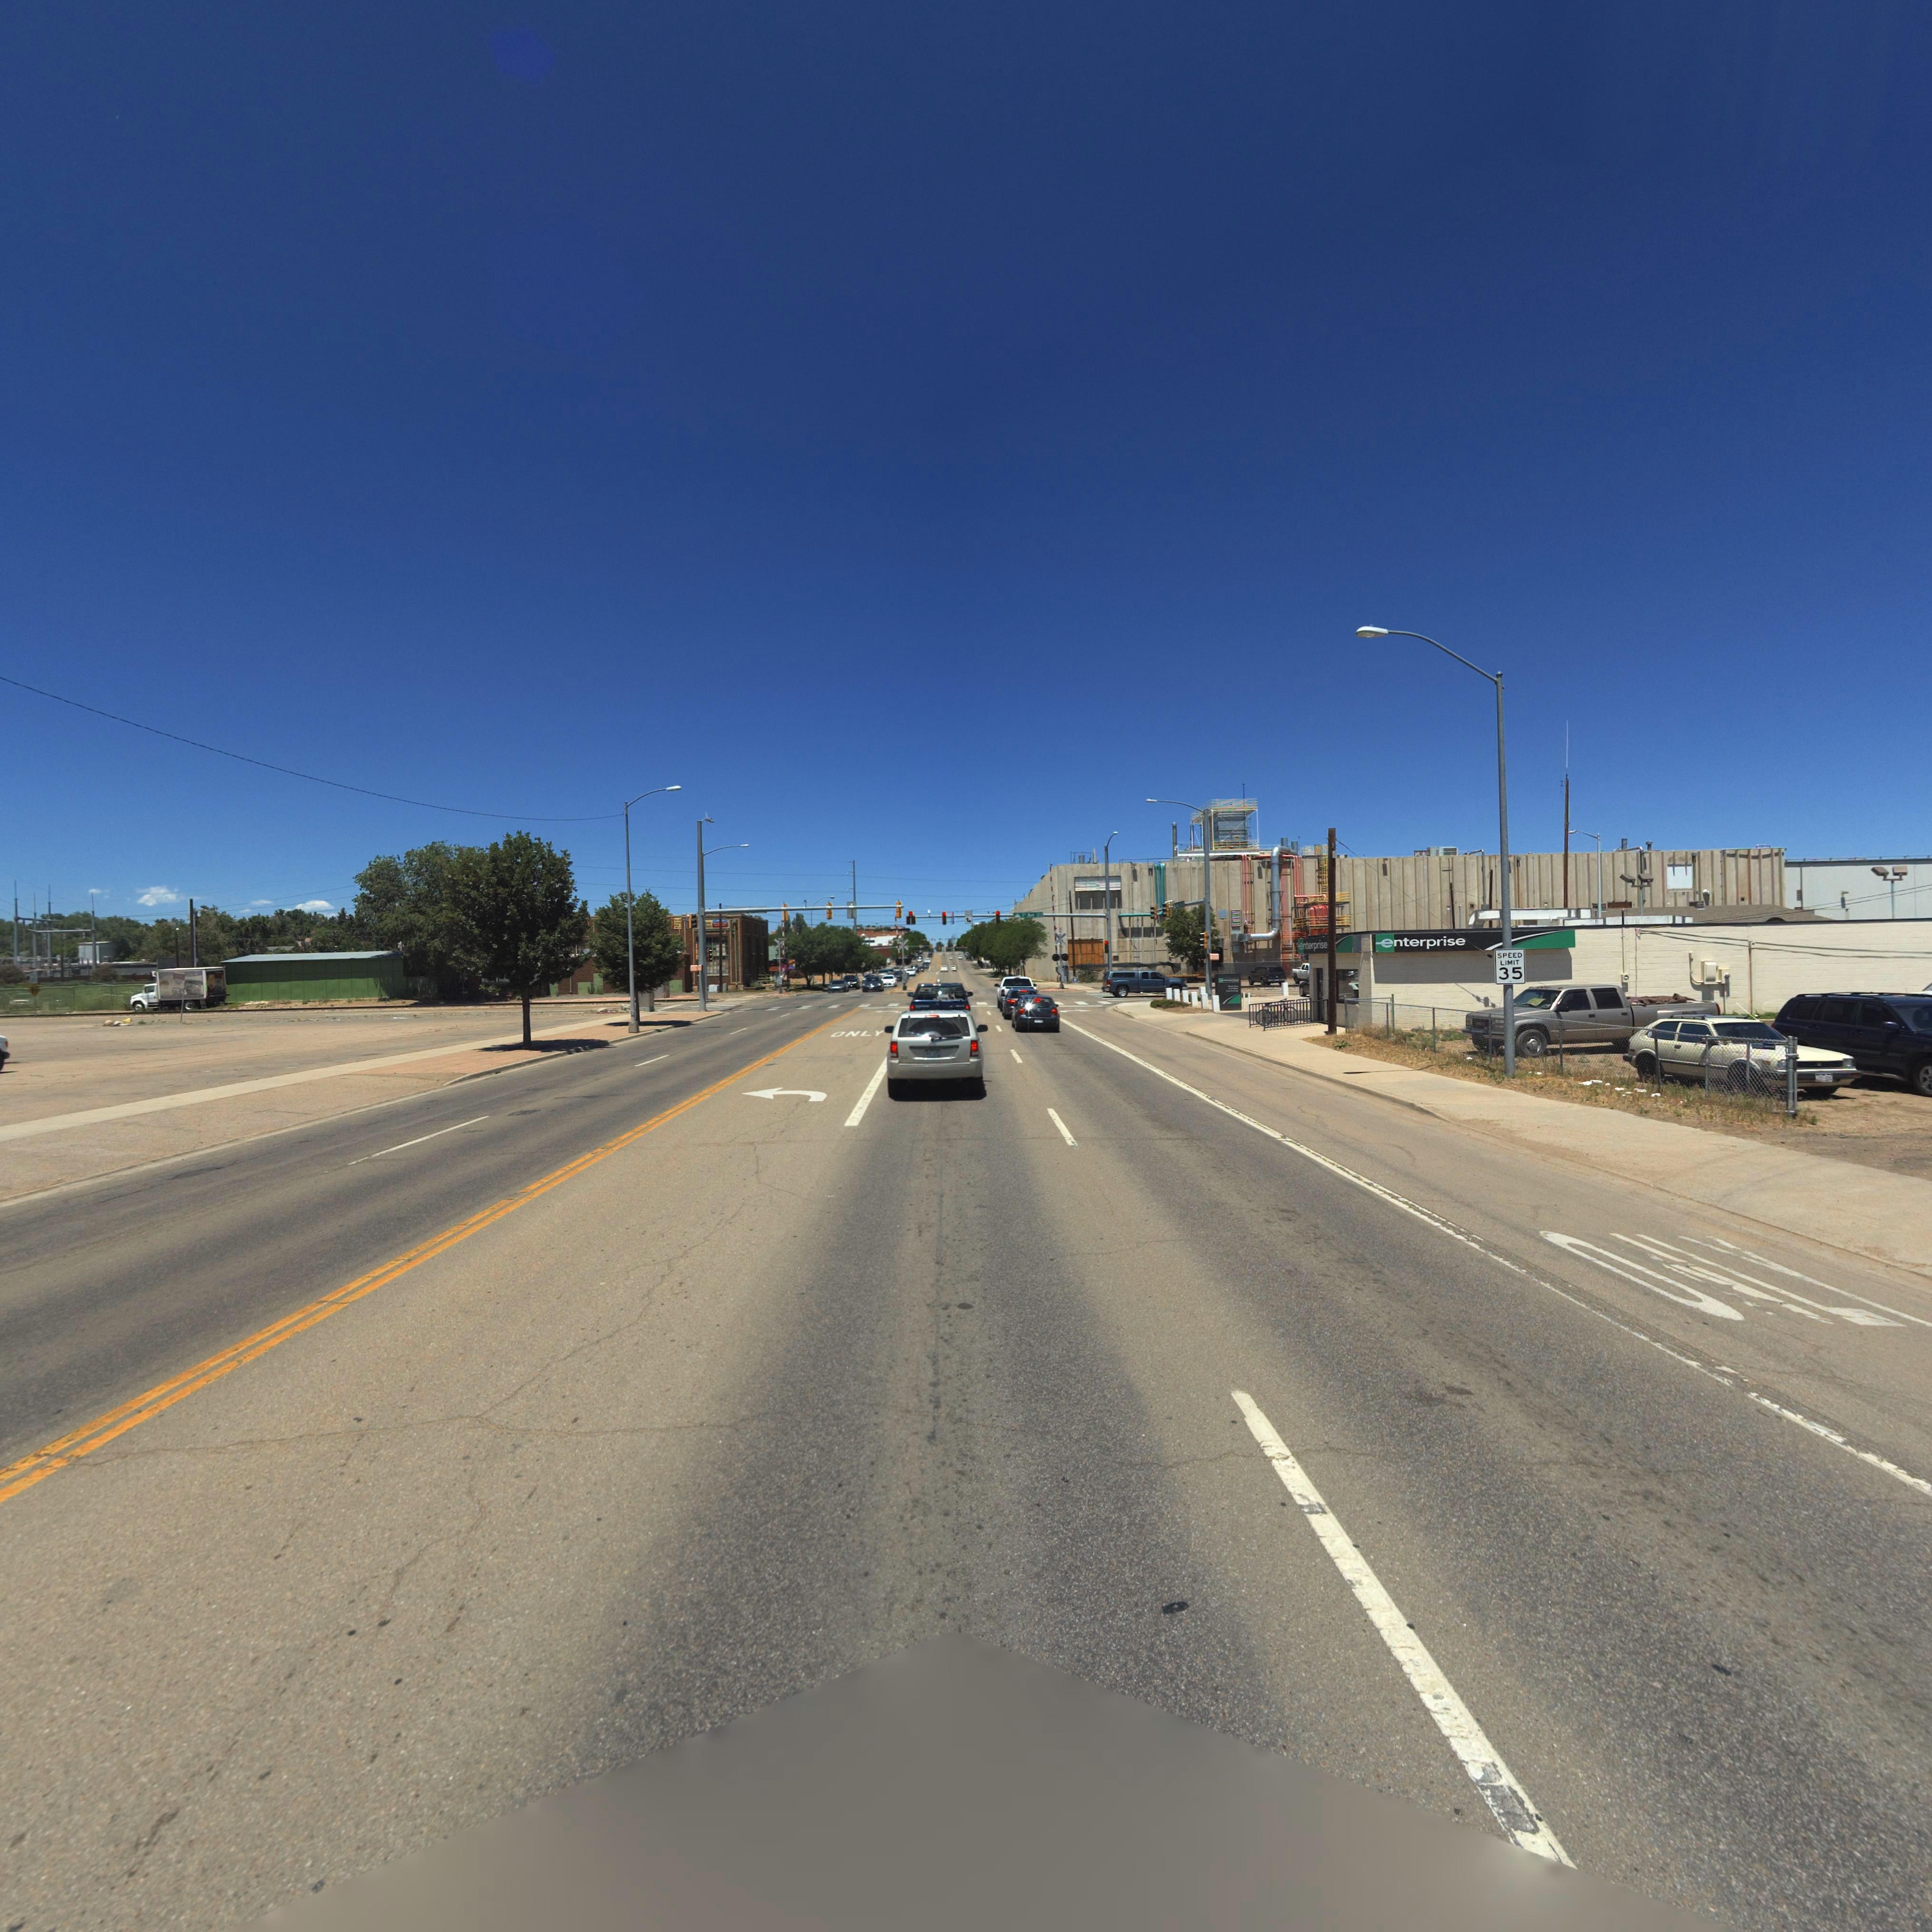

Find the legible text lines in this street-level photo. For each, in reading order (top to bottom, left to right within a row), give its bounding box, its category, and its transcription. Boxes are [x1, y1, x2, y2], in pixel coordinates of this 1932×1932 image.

[1022, 912, 1034, 917] StreetName: 1** A**
[1298, 939, 1328, 952] BusinessName: enterprise
[1380, 935, 1467, 949] BusinessName: enterprise
[1218, 979, 1239, 982] BusinessName: enterprise